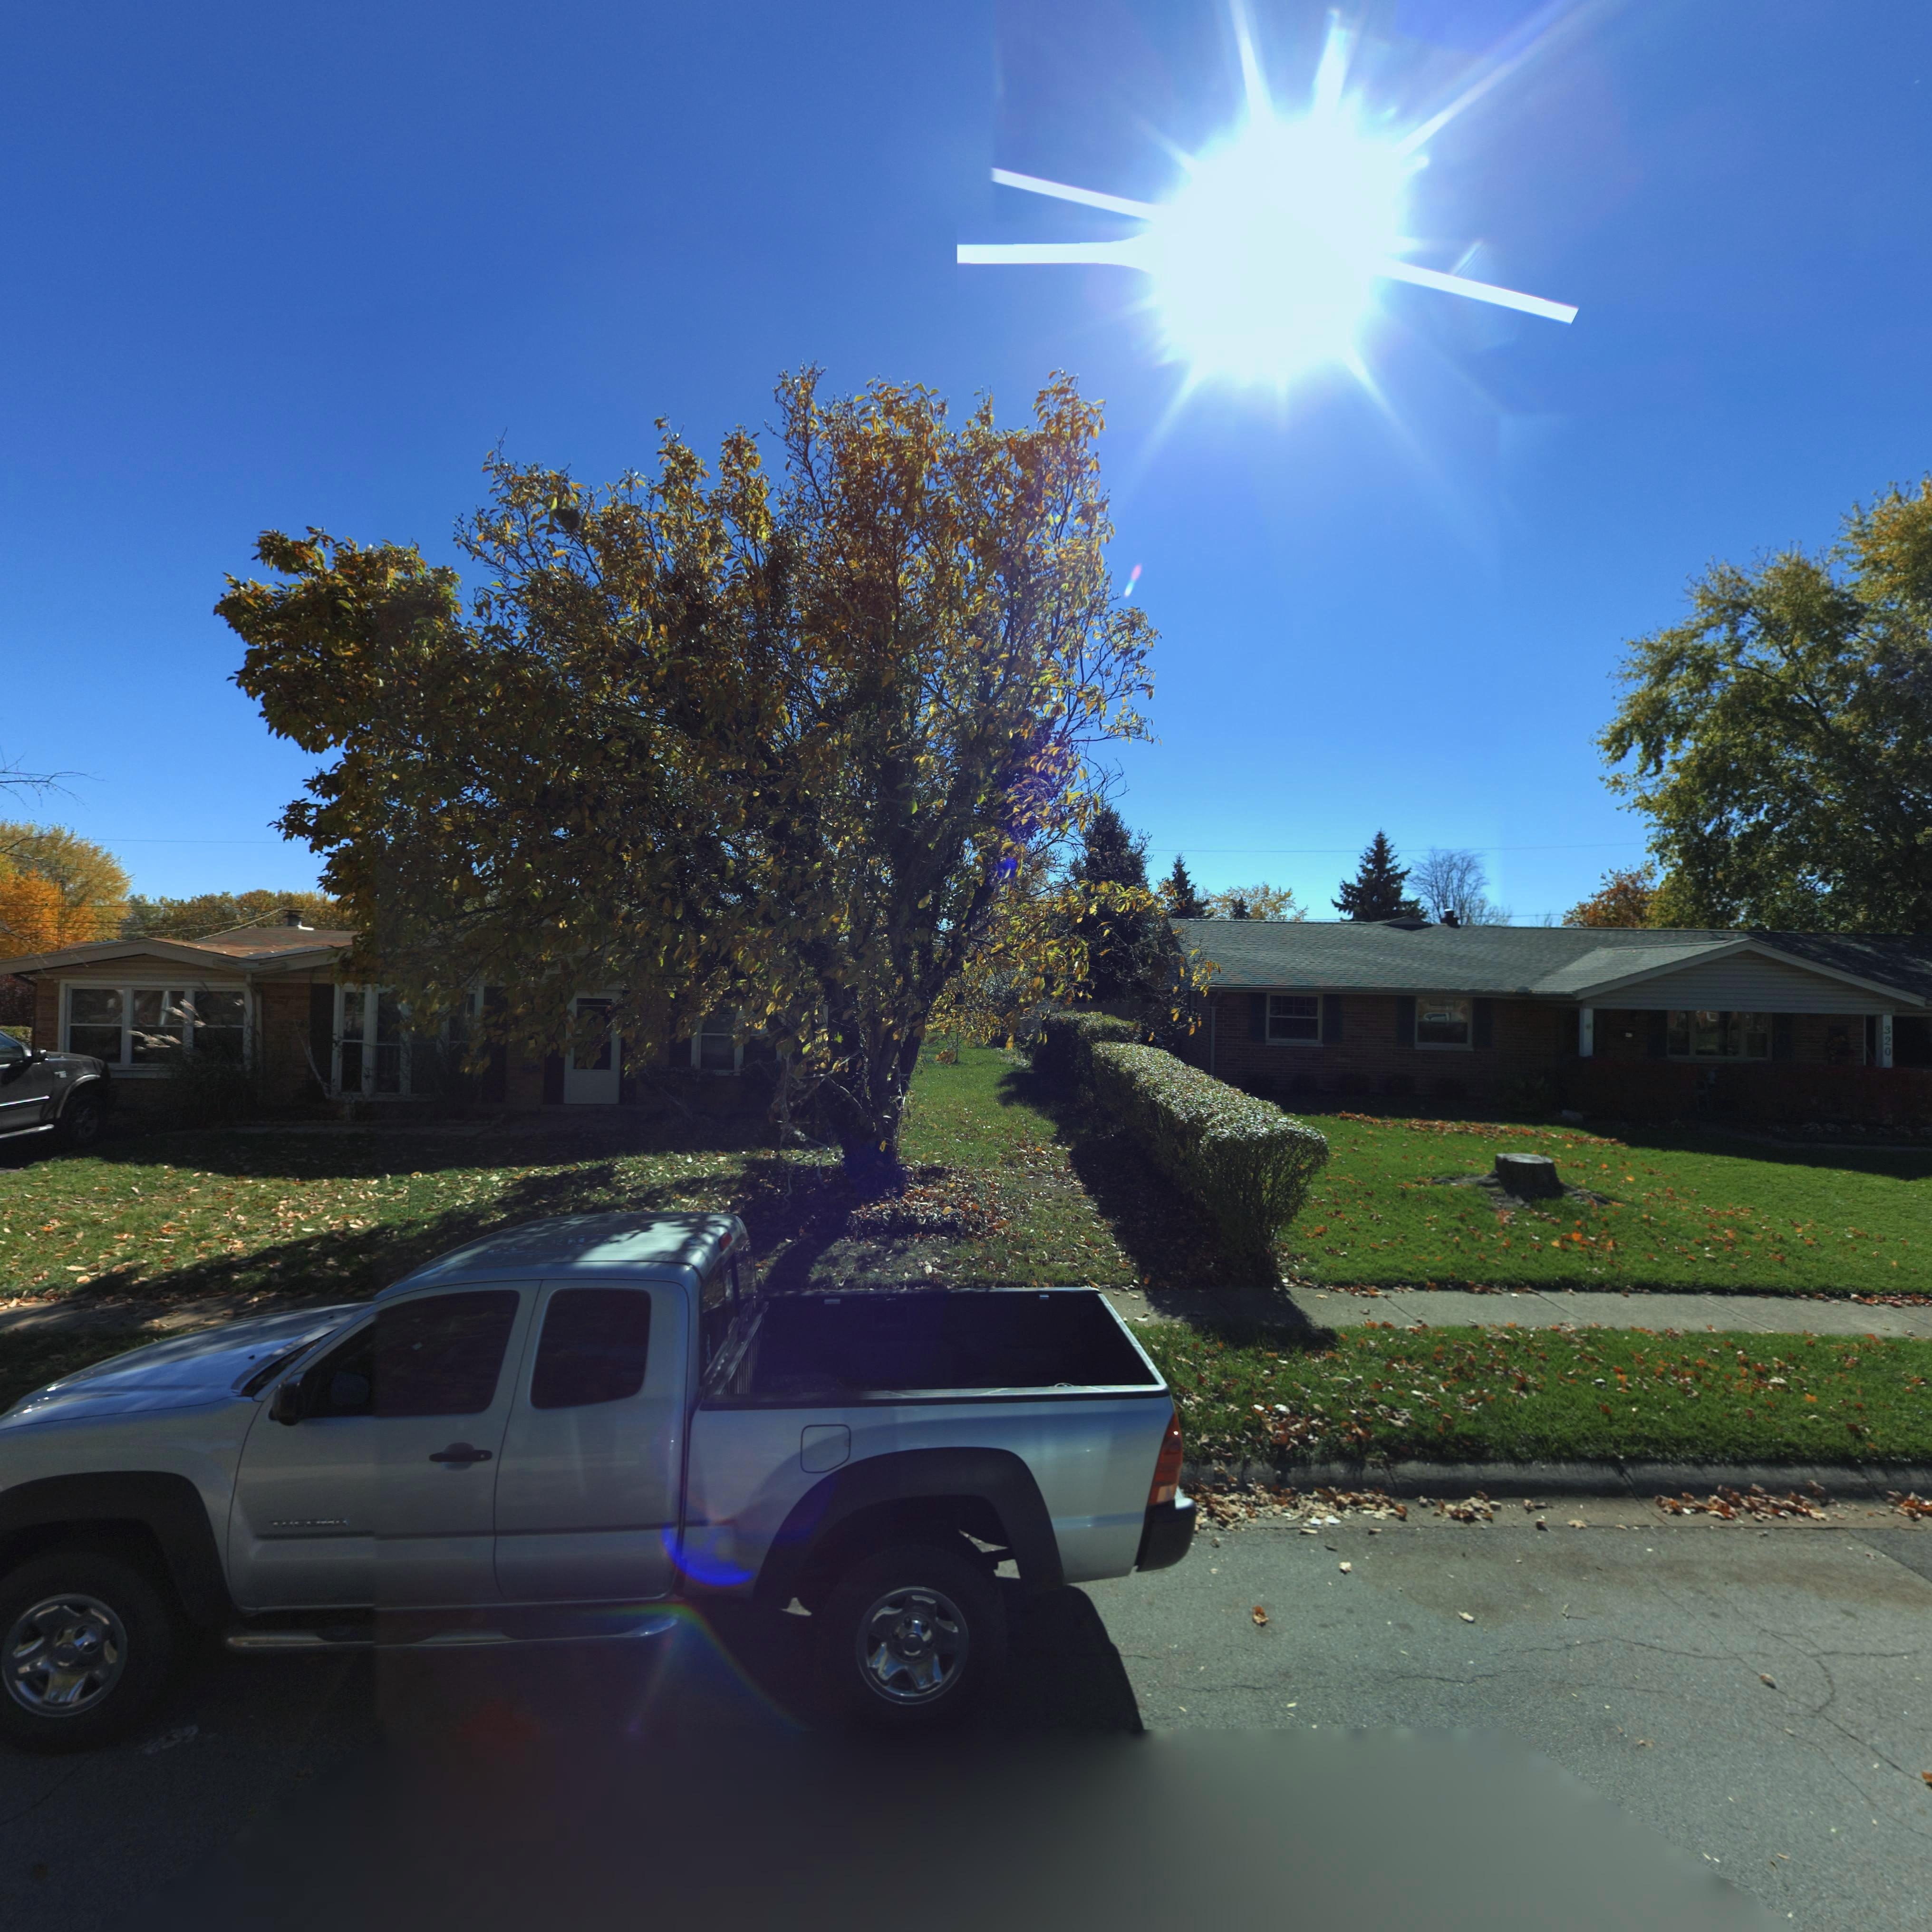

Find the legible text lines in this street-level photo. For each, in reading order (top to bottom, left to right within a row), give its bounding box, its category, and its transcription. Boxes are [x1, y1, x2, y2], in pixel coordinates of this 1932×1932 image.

[1882, 1024, 1893, 1057] StreetNumber: 320
[267, 1517, 351, 1530] None: TACOMA